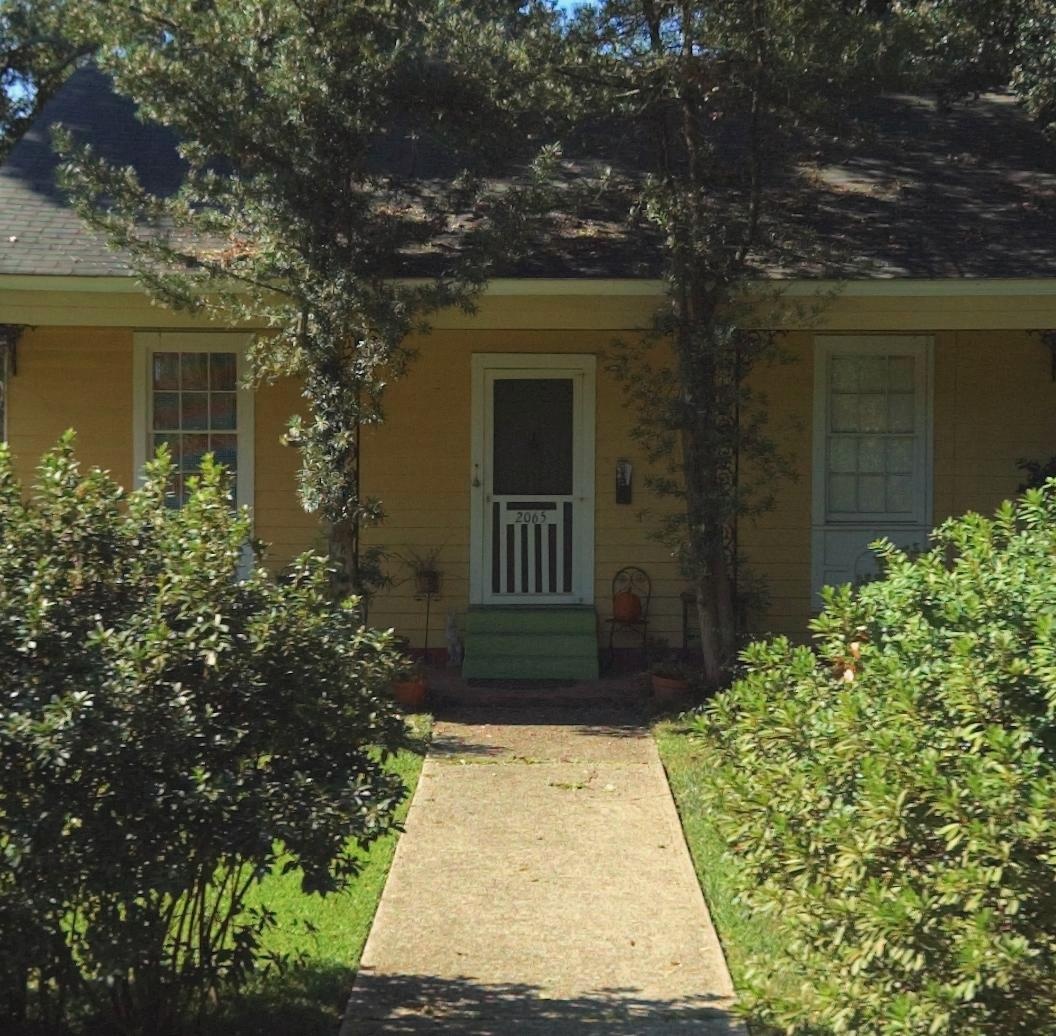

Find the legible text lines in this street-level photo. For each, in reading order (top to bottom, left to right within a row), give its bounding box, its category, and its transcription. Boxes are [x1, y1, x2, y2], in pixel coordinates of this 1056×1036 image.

[513, 509, 548, 526] StreetNumber: 2065